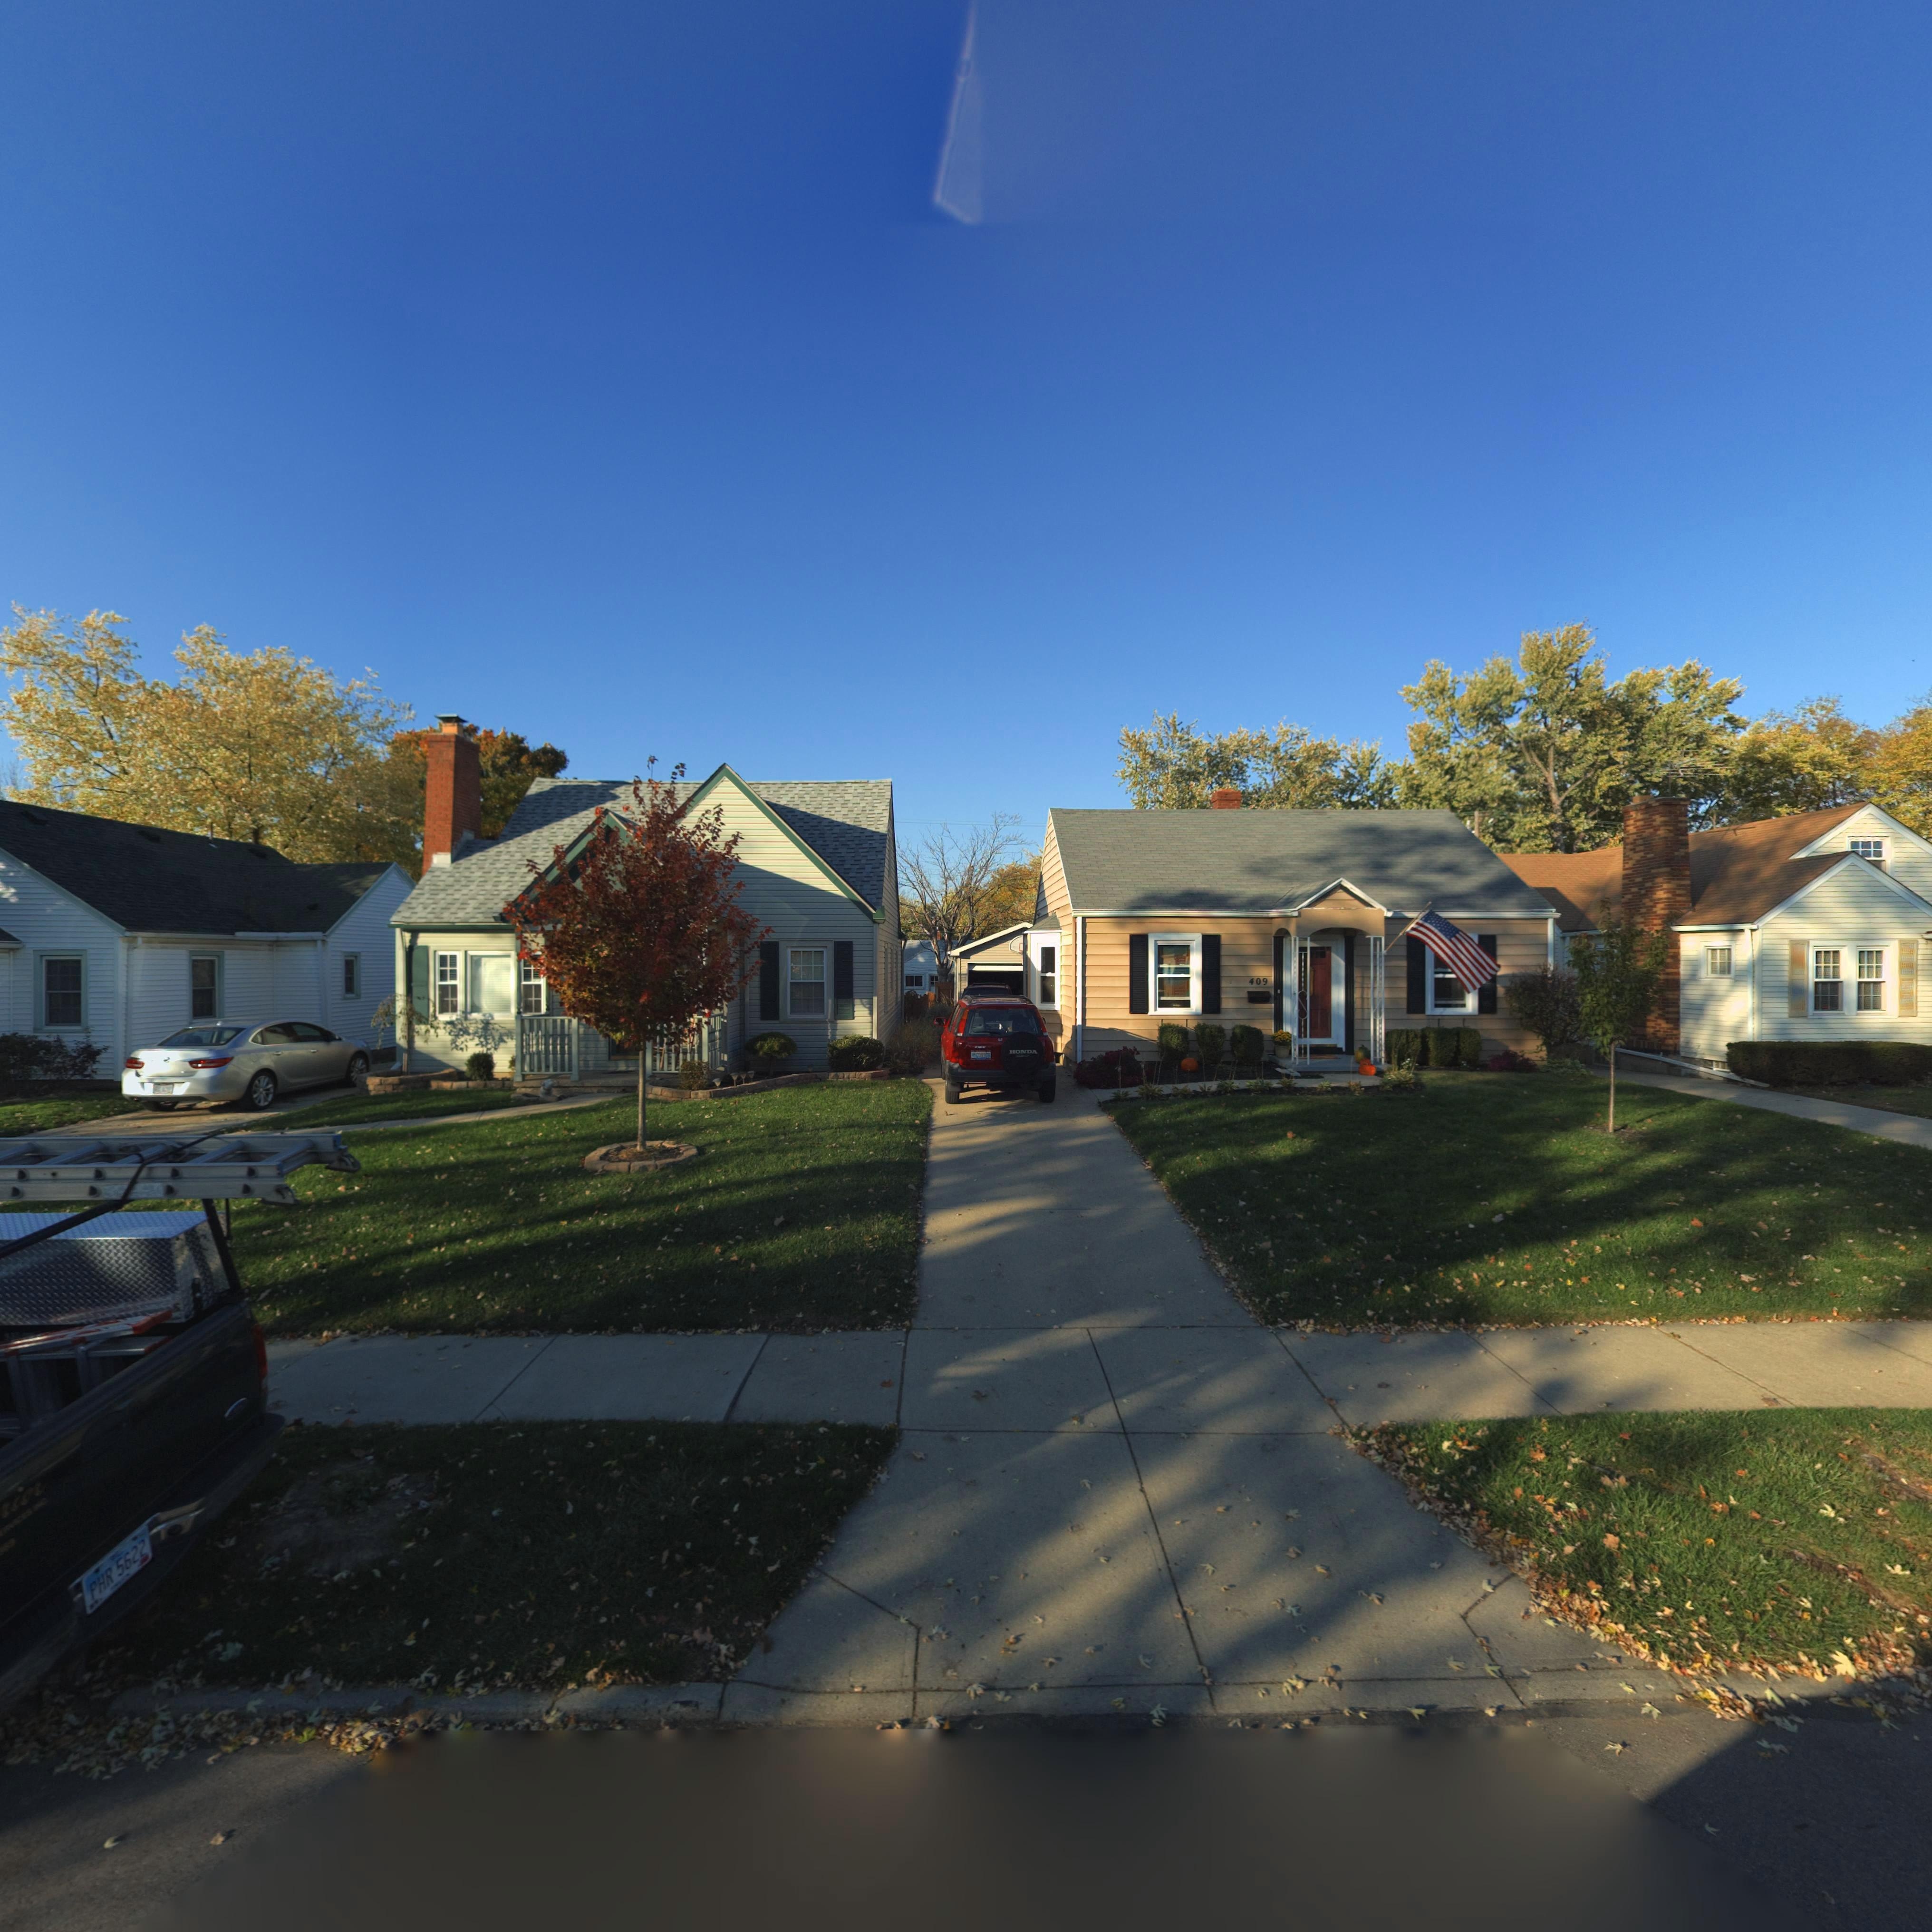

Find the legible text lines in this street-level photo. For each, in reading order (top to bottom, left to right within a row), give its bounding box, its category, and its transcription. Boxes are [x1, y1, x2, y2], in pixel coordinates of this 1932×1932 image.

[1247, 976, 1269, 986] StreetNumber: 409